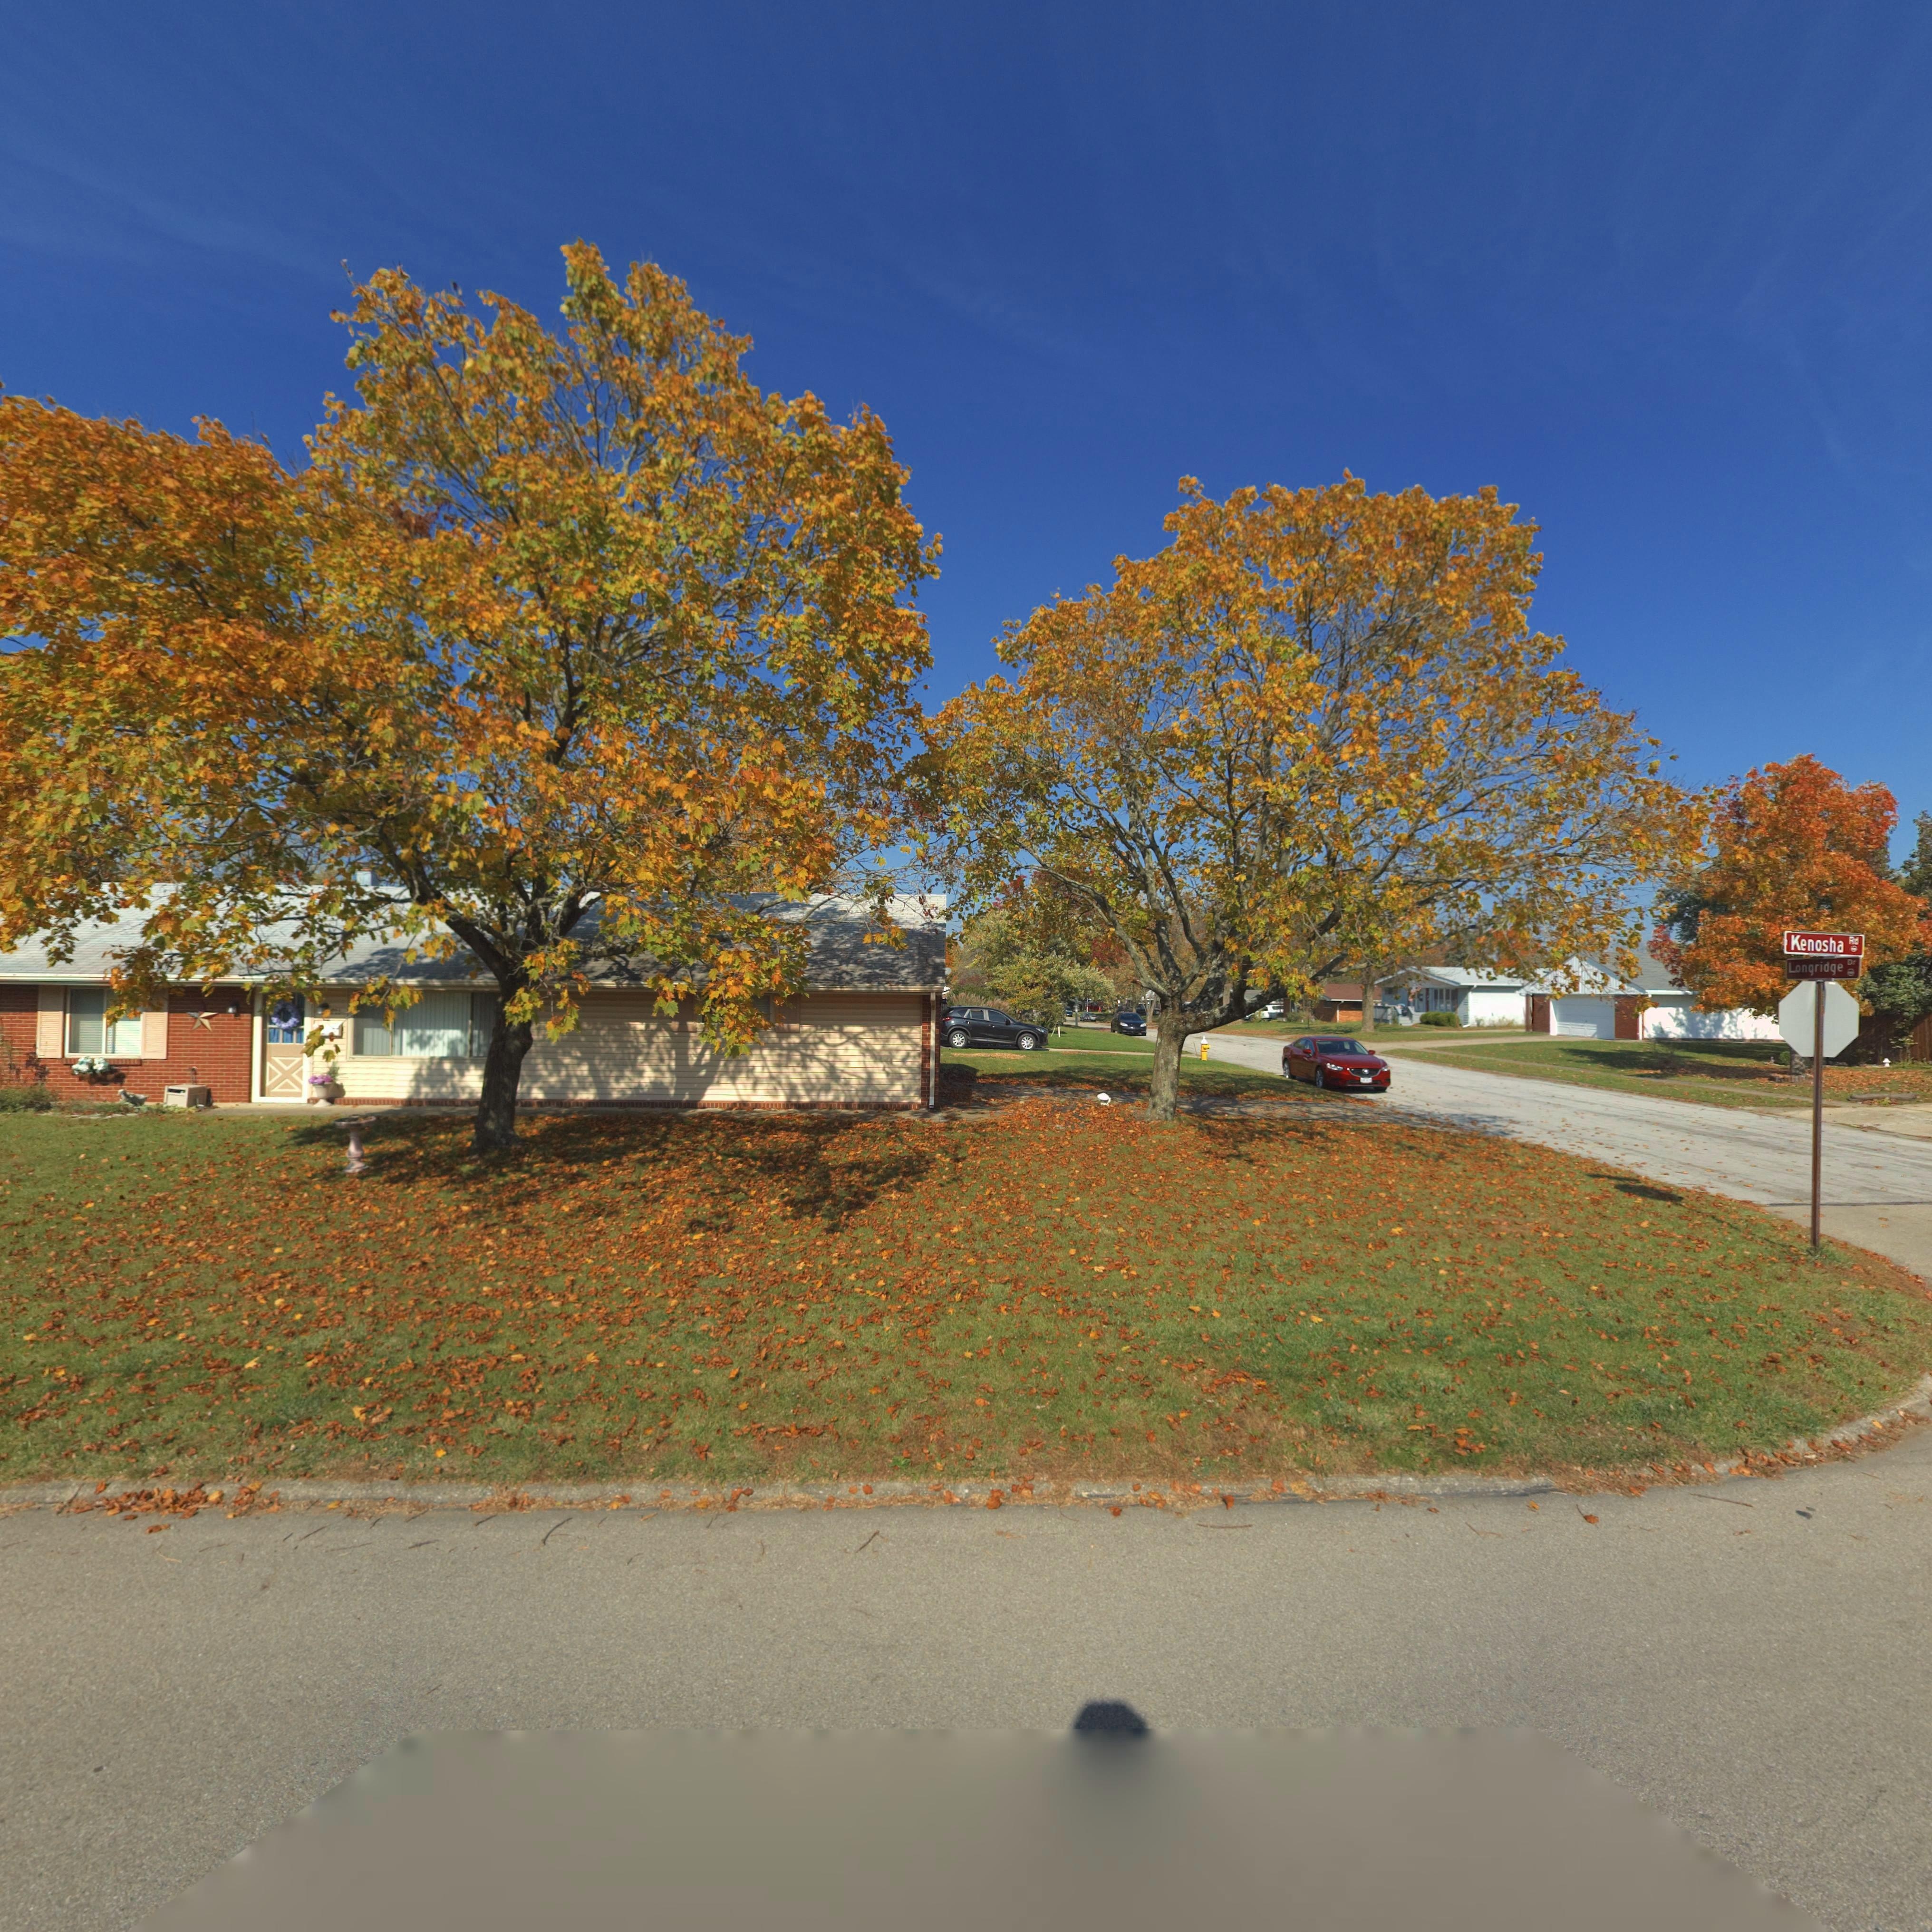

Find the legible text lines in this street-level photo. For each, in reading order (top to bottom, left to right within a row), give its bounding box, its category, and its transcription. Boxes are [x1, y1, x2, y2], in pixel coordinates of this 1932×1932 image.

[1789, 933, 1861, 955] StreetName: Kenosha Rd
[1787, 958, 1857, 978] StreetName: Longridge Dr